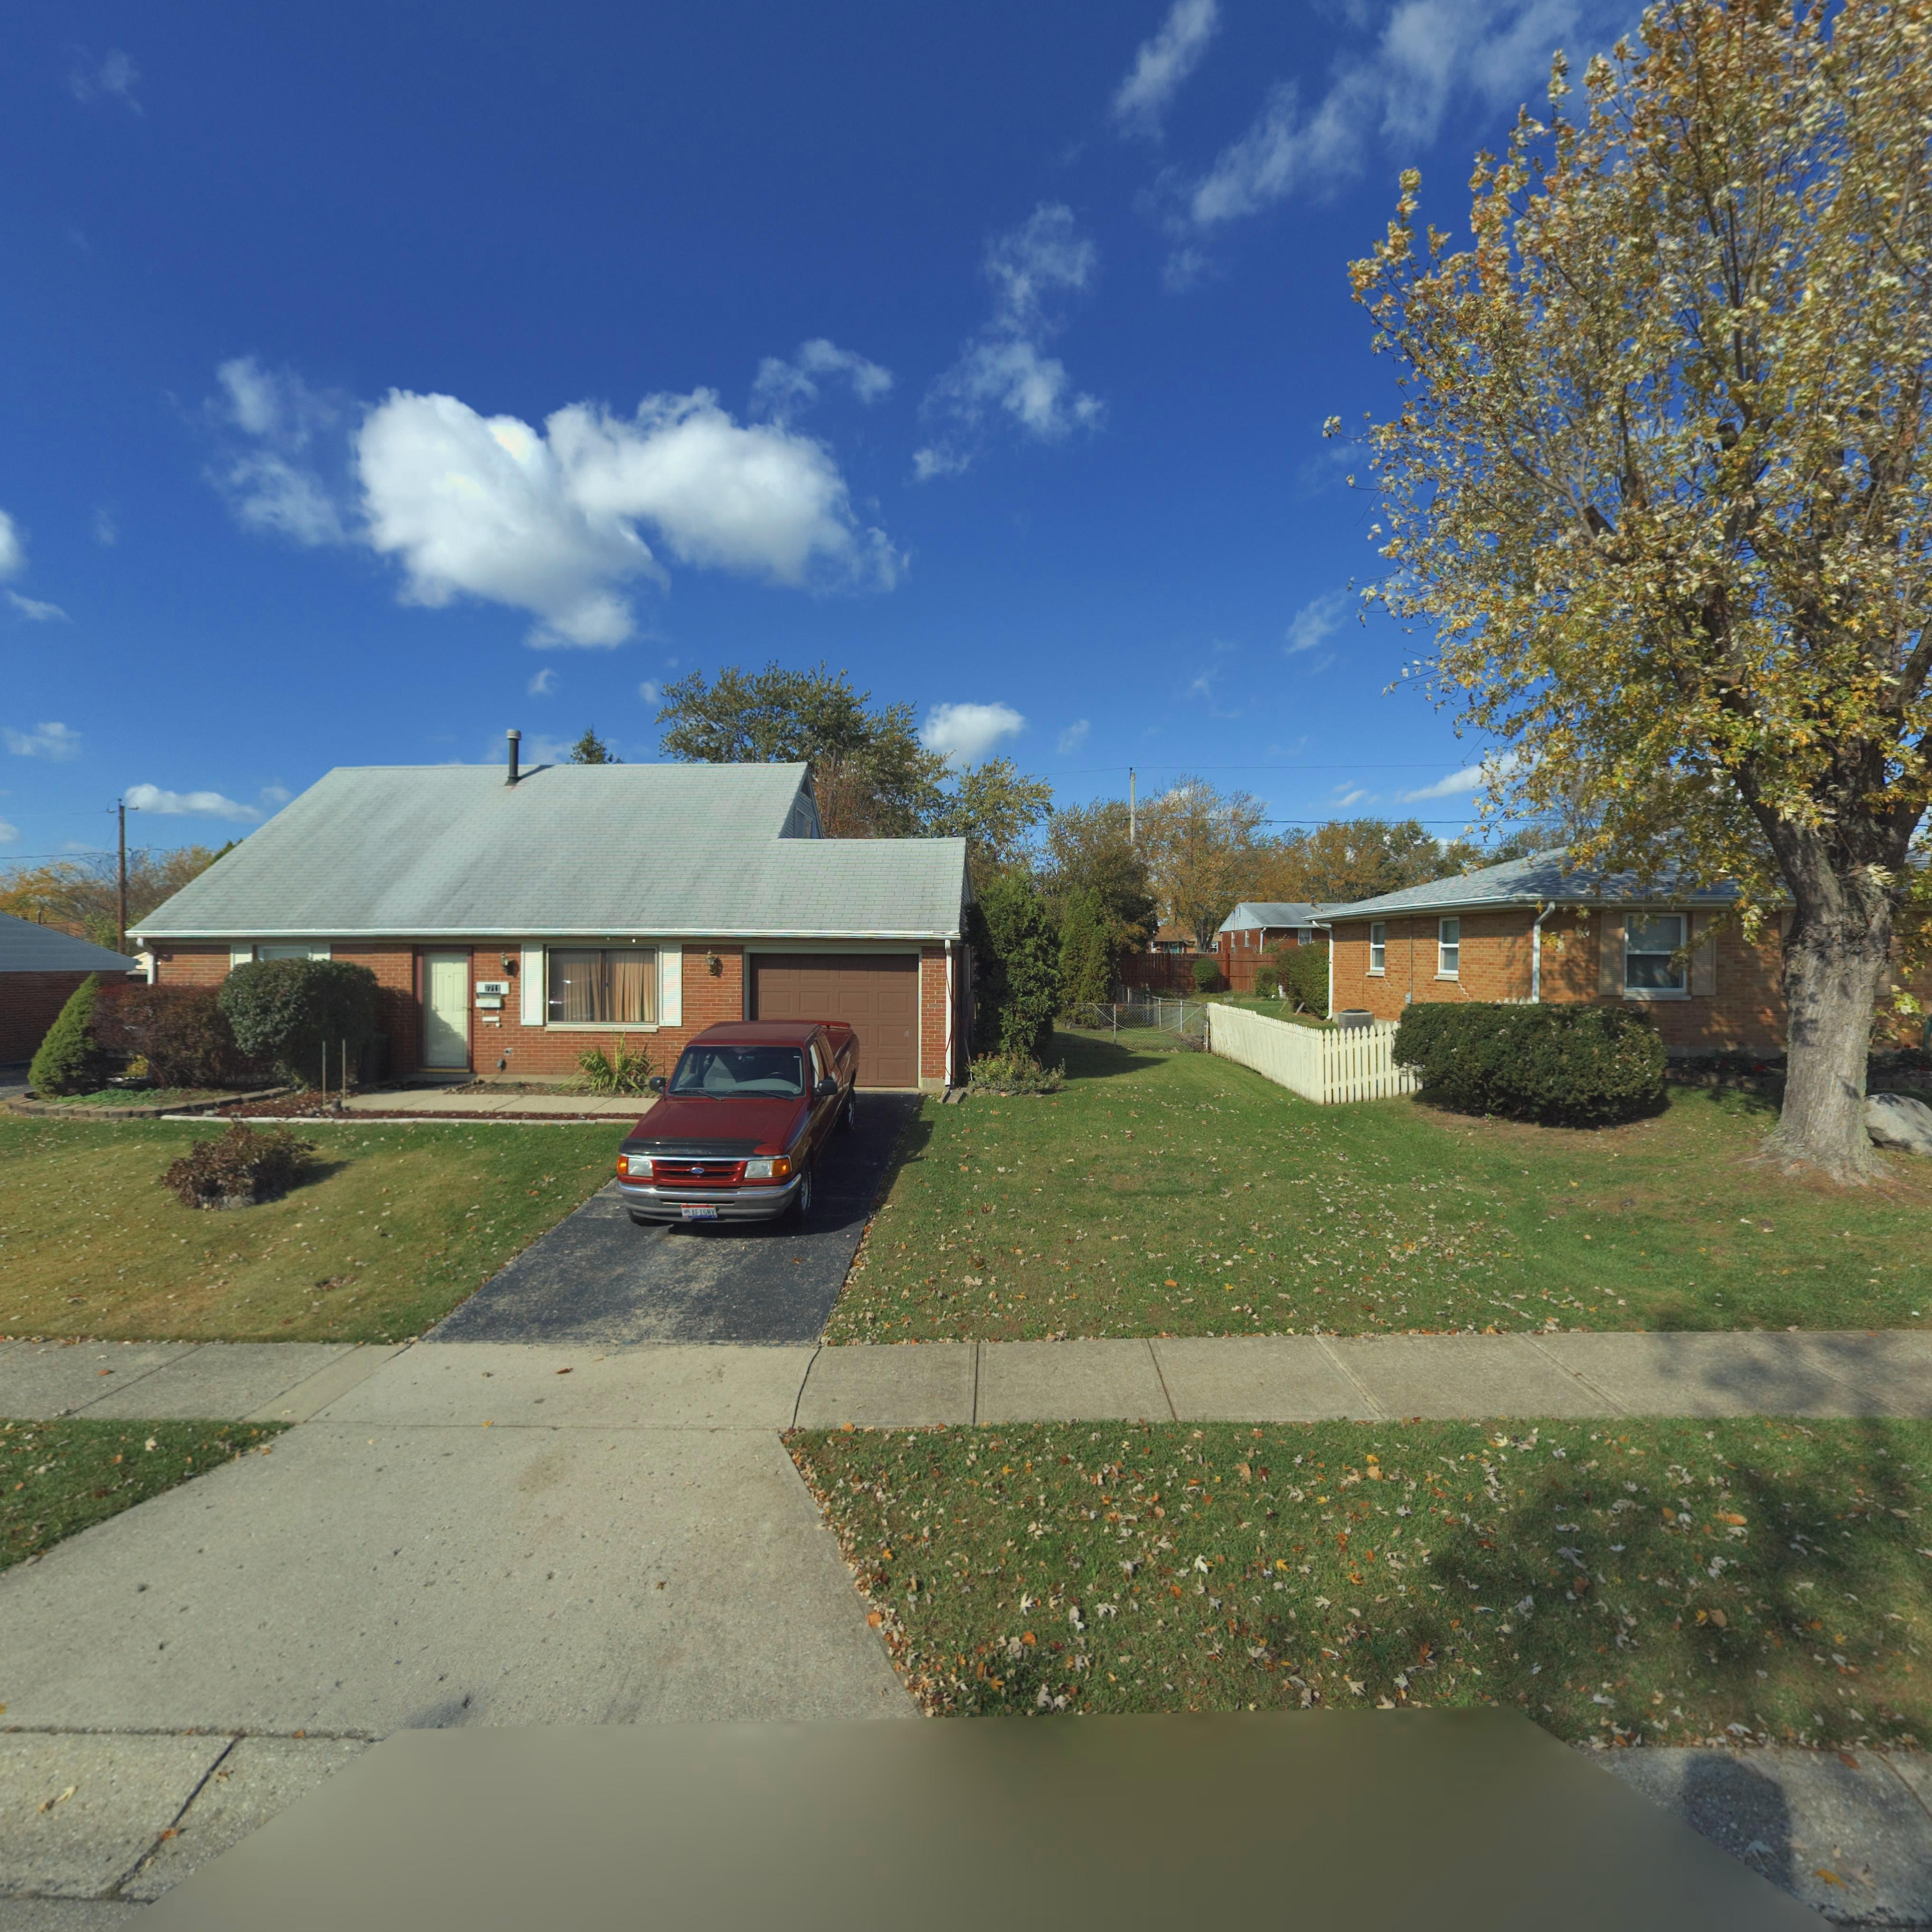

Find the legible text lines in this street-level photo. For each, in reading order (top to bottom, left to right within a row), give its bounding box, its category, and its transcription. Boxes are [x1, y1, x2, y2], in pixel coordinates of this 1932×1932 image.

[484, 985, 500, 992] StreetNumber: 7711